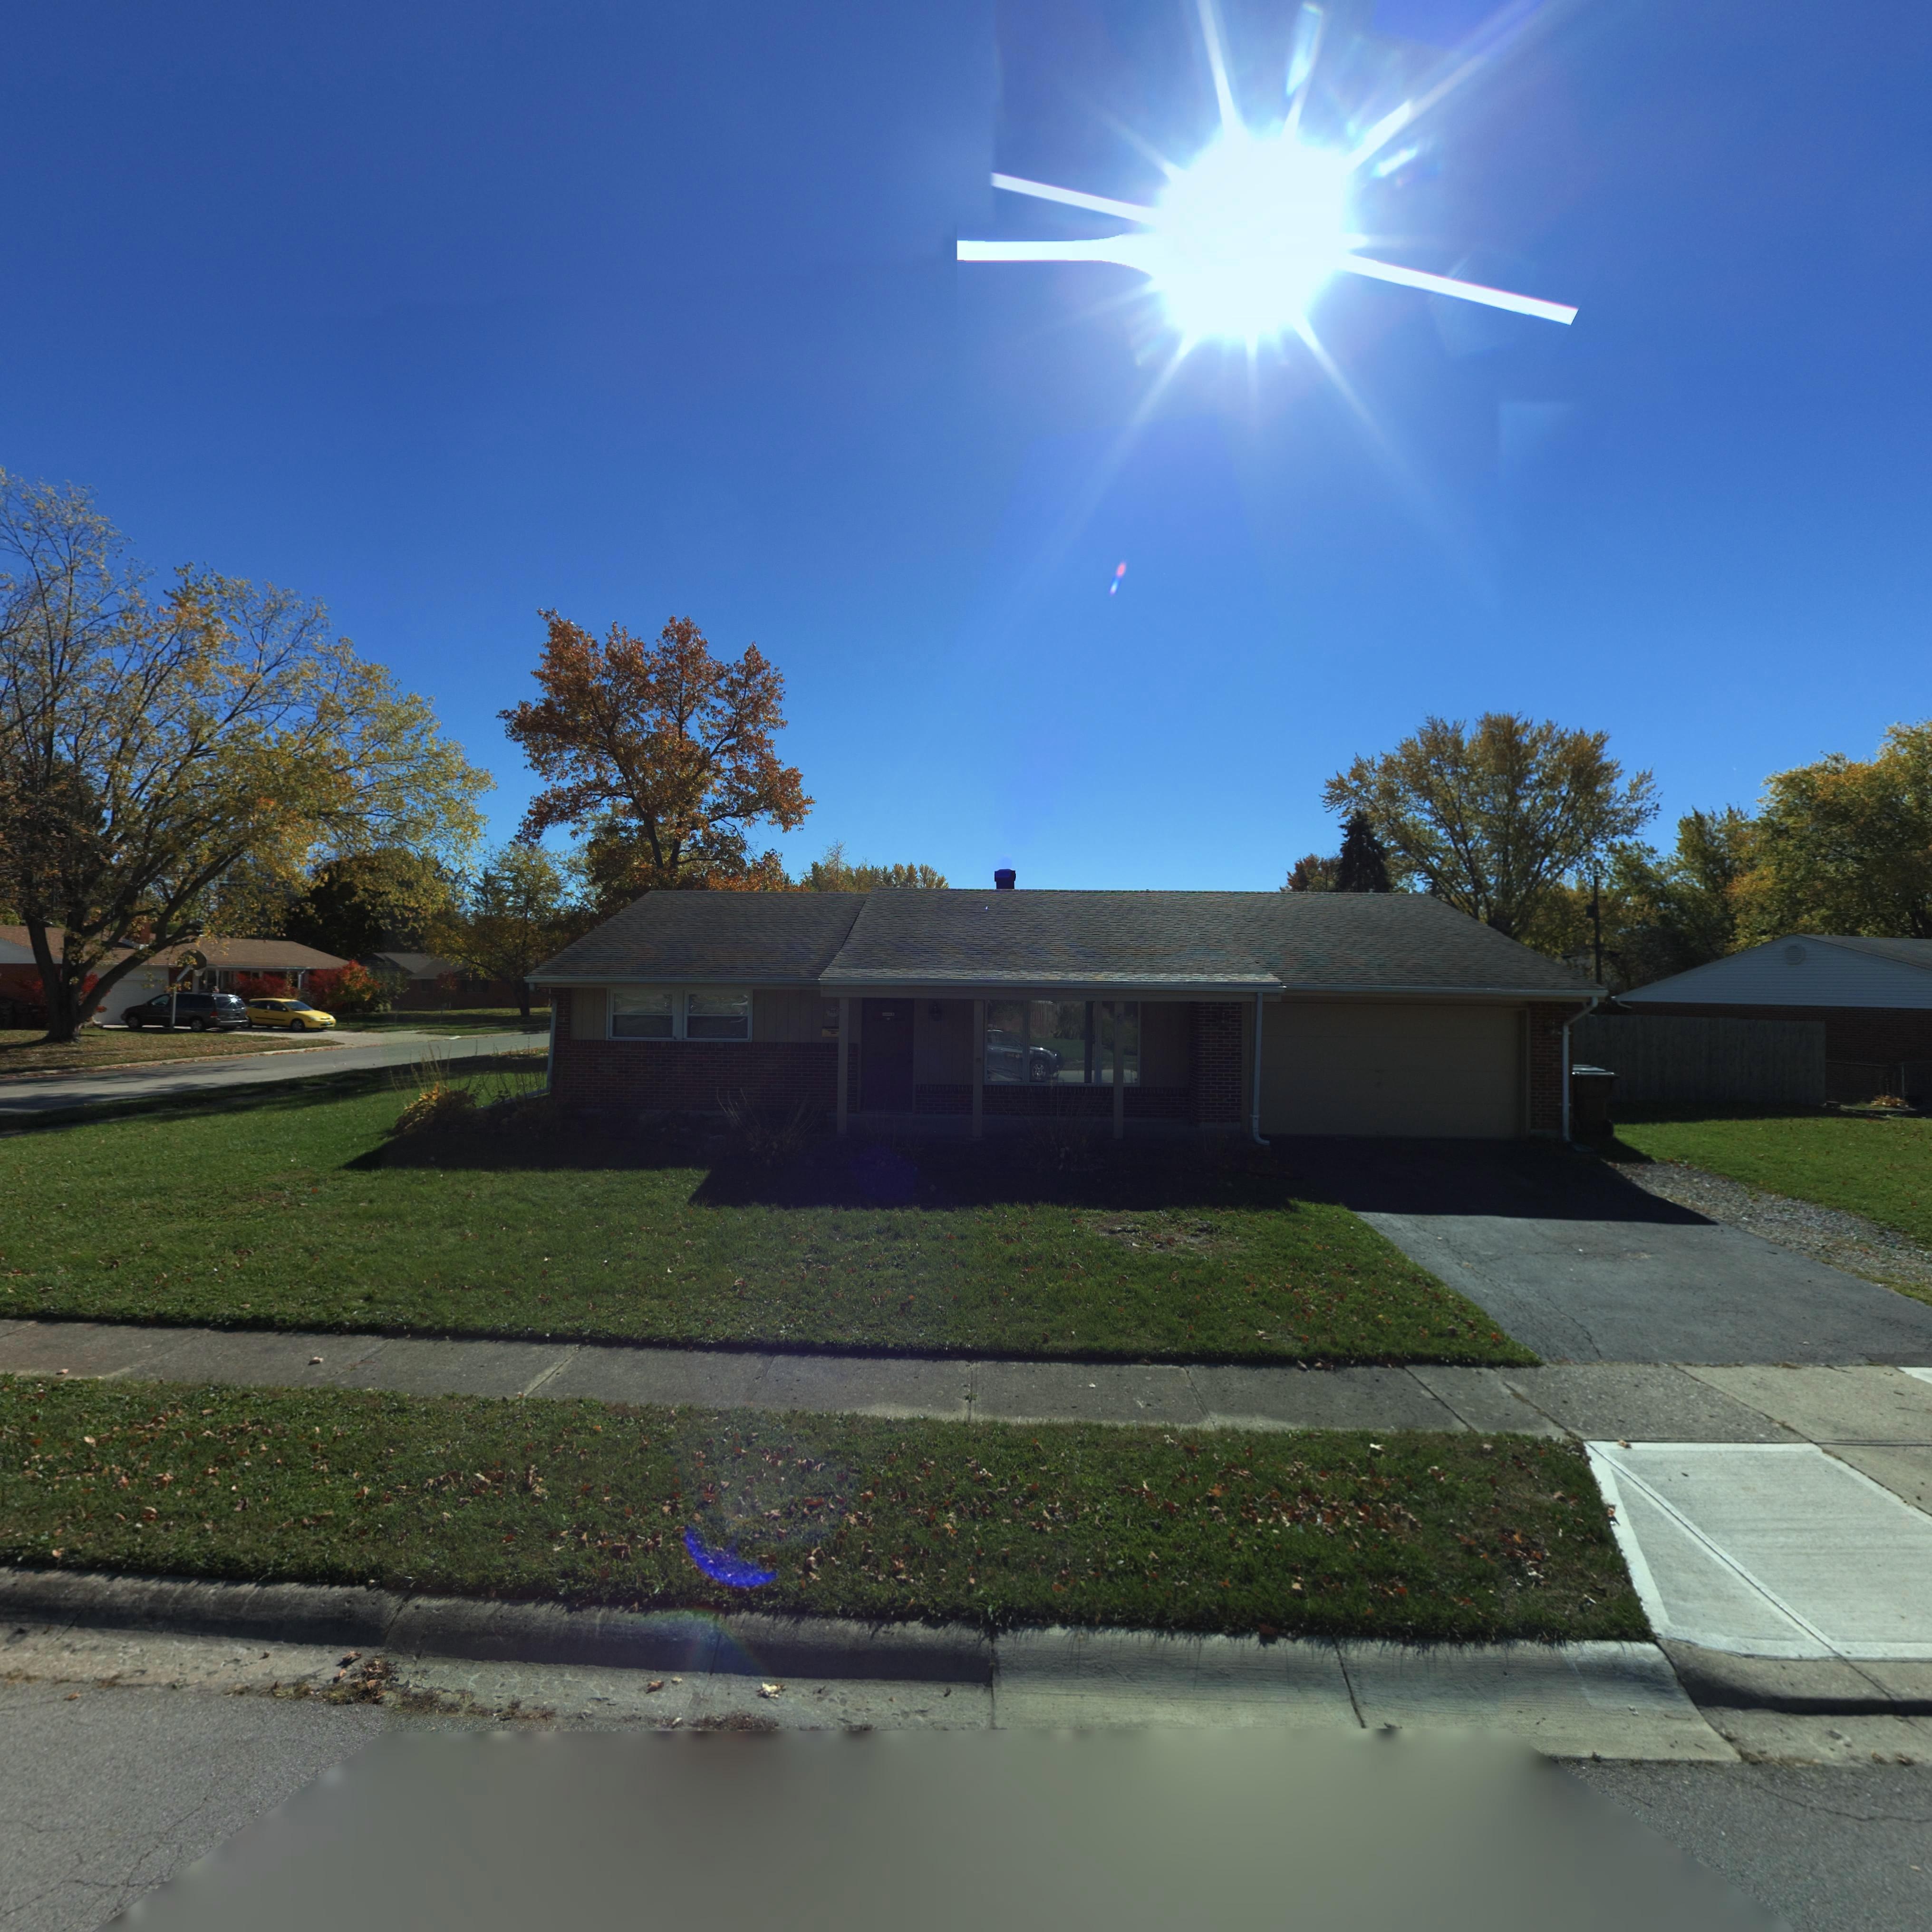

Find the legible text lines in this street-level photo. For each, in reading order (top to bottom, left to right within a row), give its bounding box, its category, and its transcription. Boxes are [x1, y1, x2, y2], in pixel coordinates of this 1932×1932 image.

[829, 1009, 838, 1014] StreetNumber: *0*